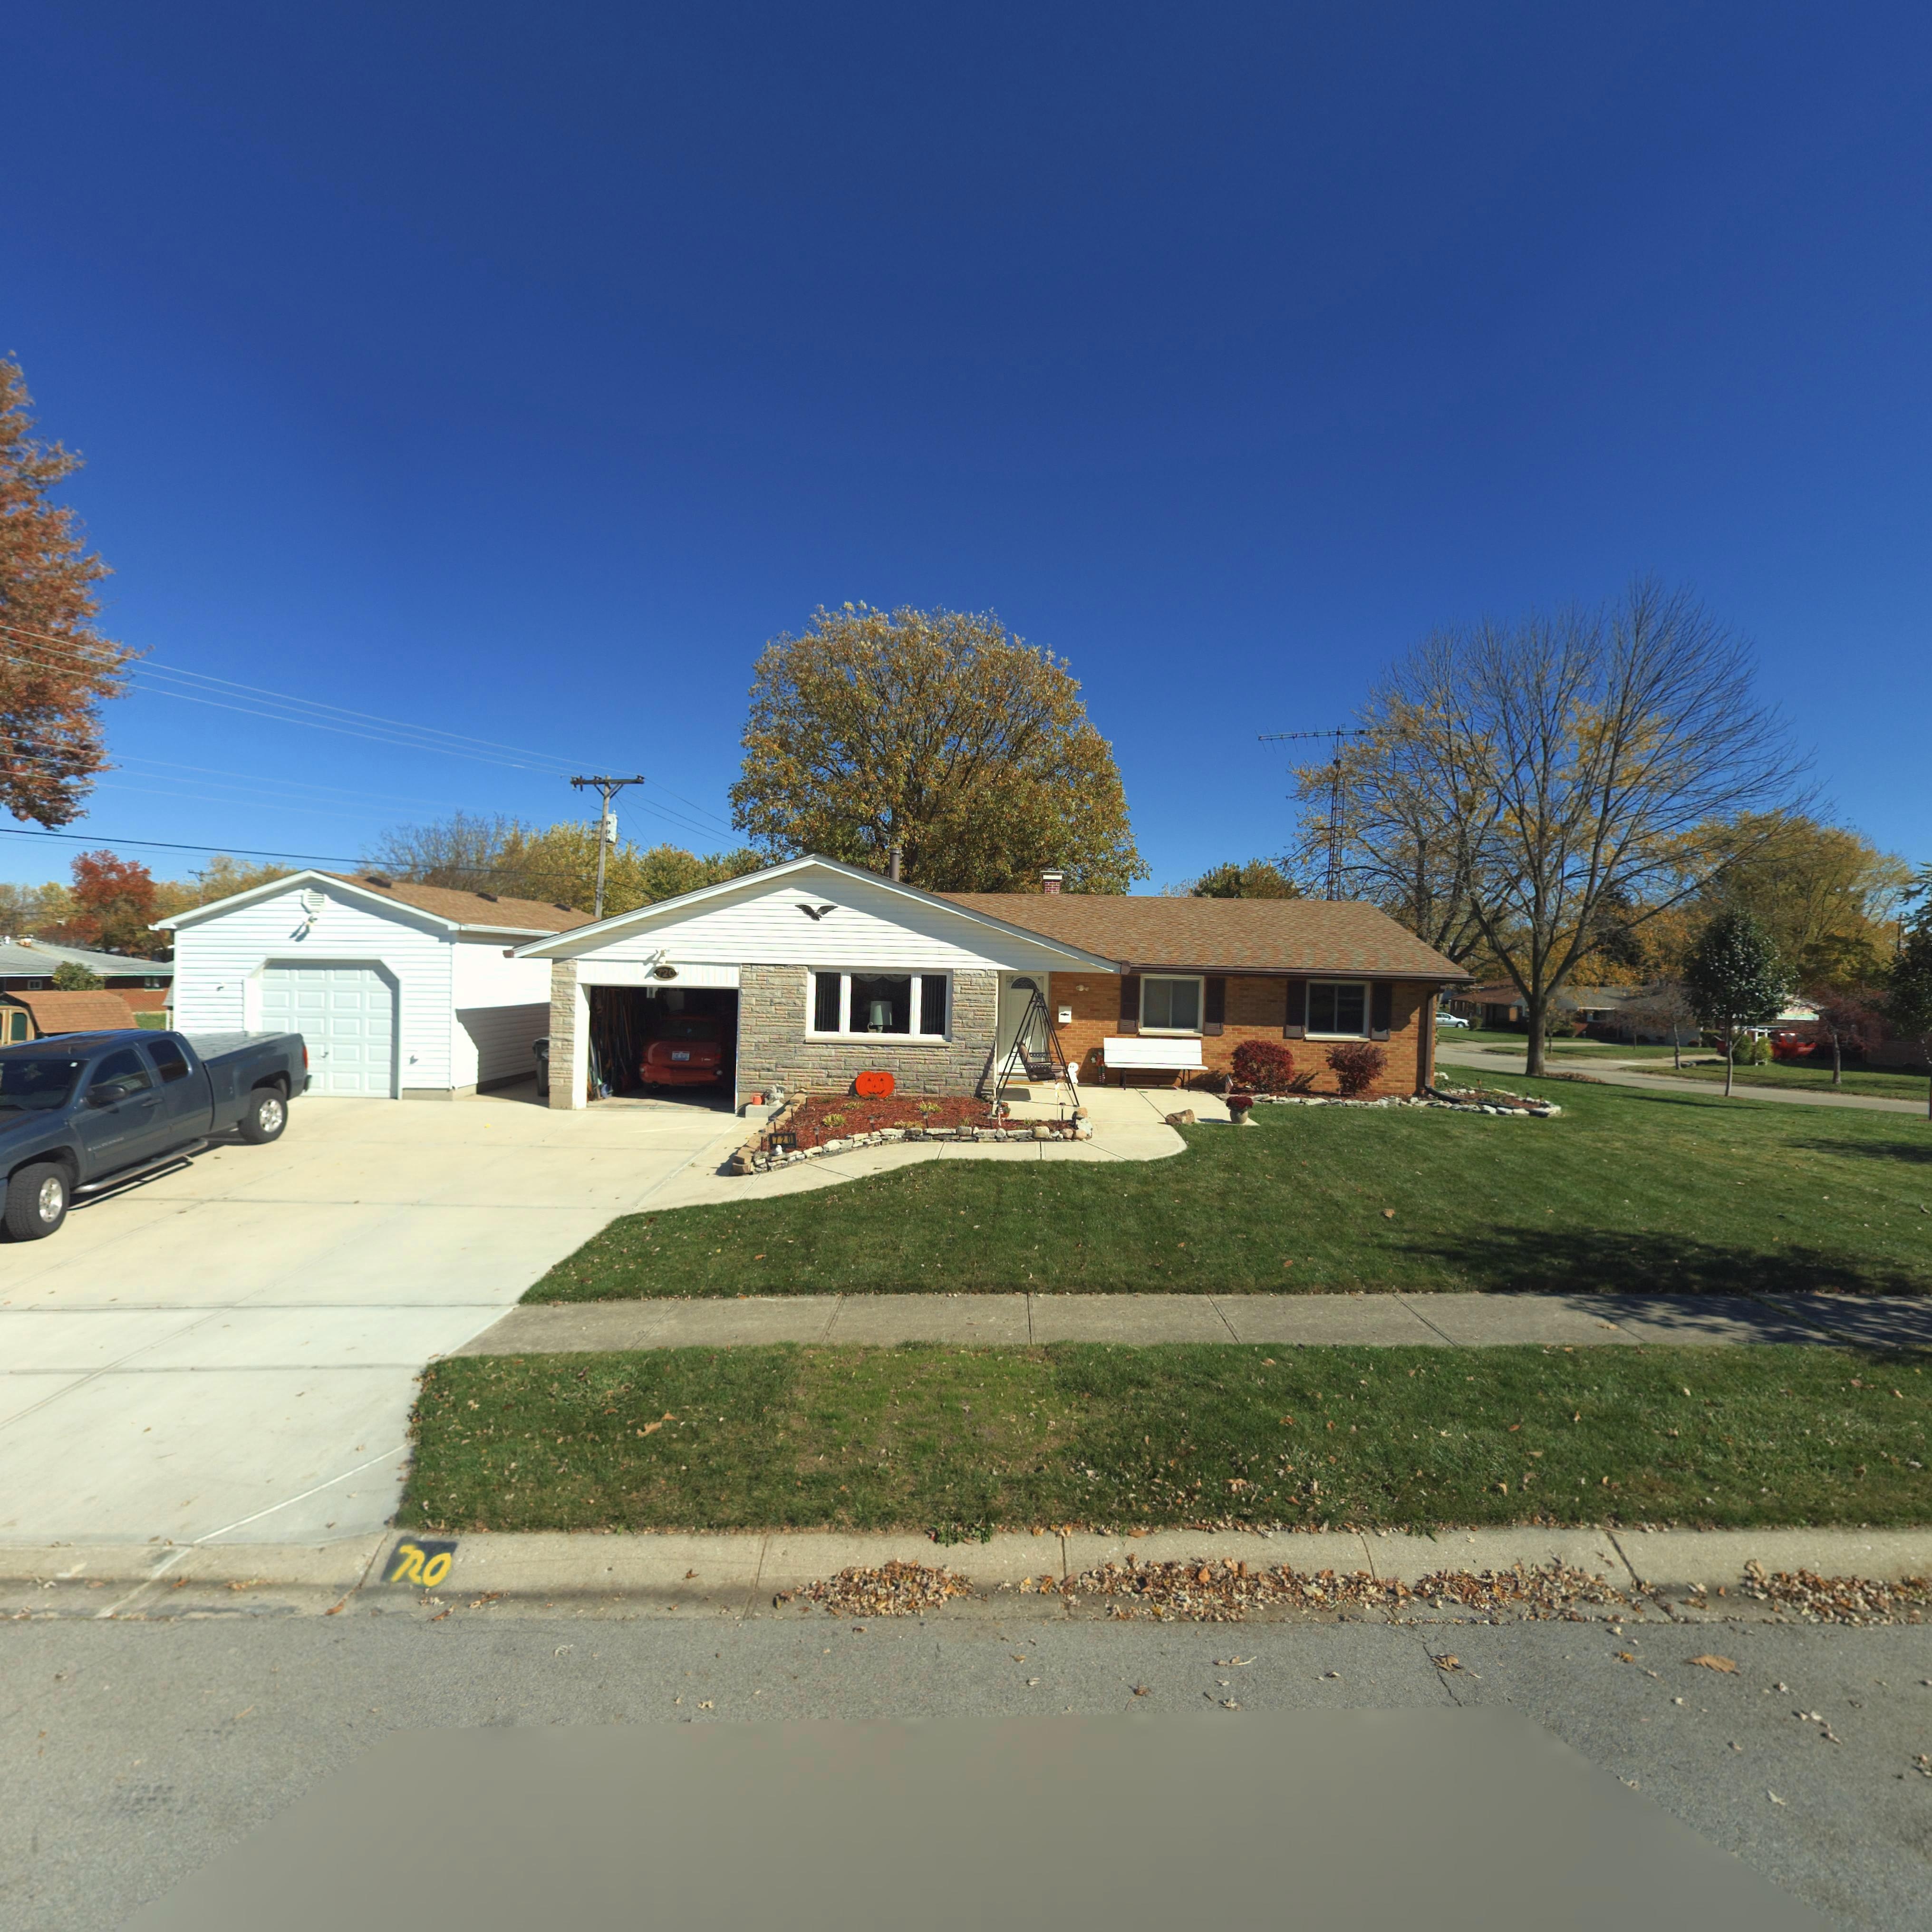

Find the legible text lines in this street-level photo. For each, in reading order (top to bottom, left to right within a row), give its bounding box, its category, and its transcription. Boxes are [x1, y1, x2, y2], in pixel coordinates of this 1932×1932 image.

[657, 968, 676, 977] StreetNumber: 720
[389, 1543, 454, 1589] StreetNumber: 720